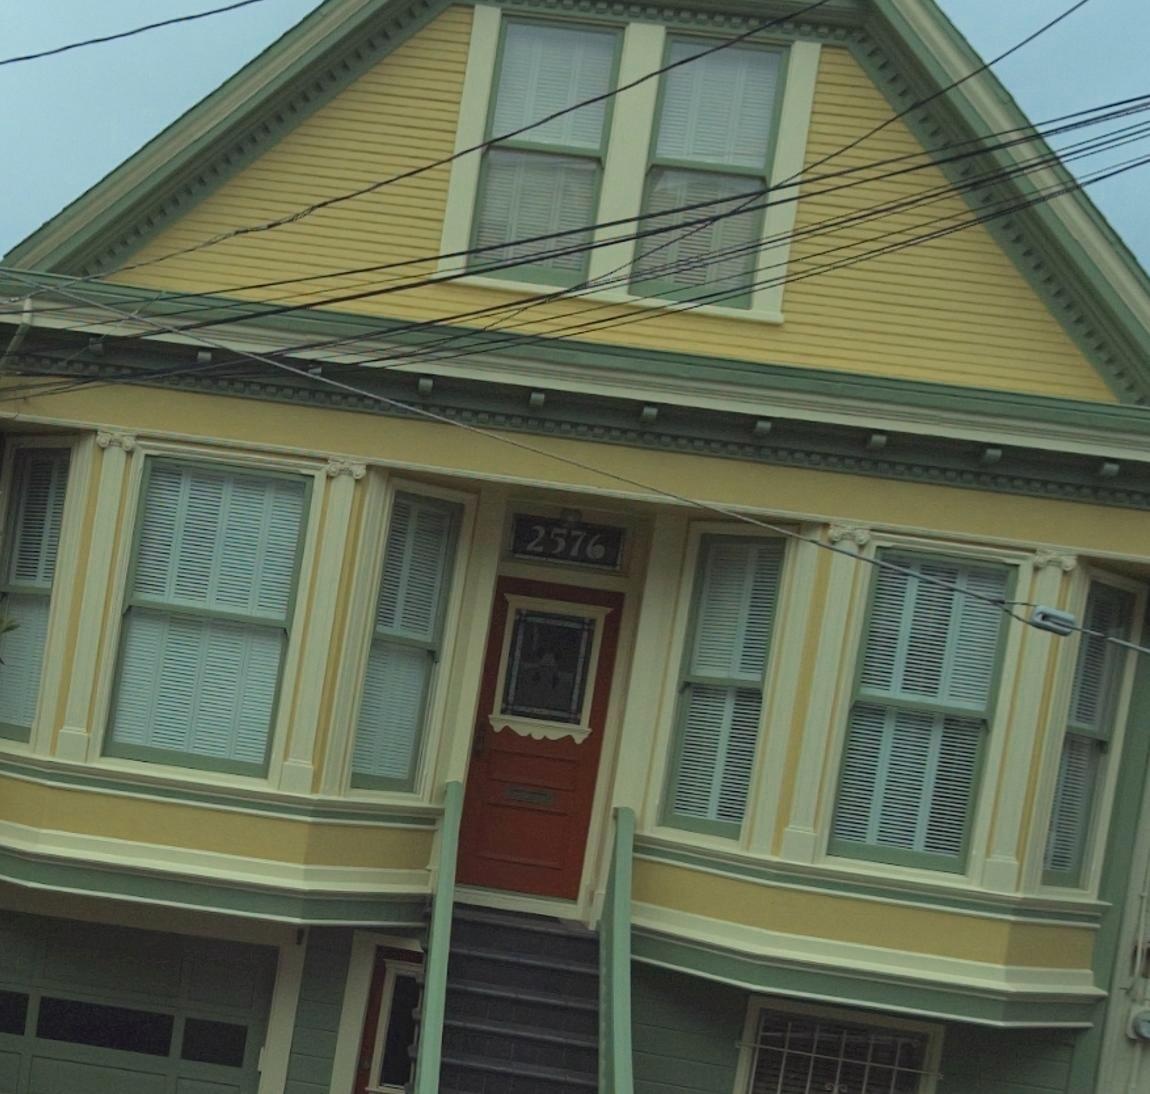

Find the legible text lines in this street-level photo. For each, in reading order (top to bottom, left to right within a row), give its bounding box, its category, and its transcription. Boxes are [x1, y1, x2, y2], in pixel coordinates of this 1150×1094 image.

[523, 524, 611, 562] StreetNumber: 2576